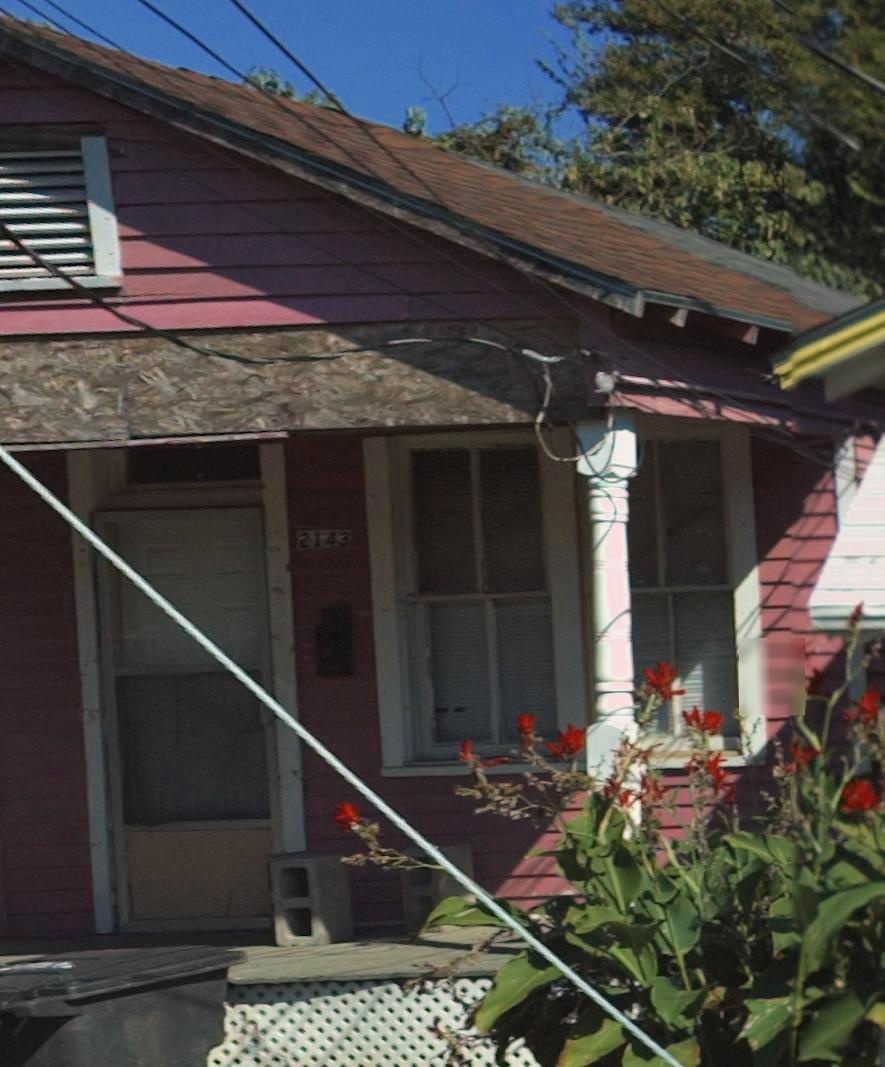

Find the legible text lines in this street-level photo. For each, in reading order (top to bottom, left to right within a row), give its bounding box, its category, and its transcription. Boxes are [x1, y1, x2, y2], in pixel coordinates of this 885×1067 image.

[297, 529, 351, 549] StreetNumber: 2143